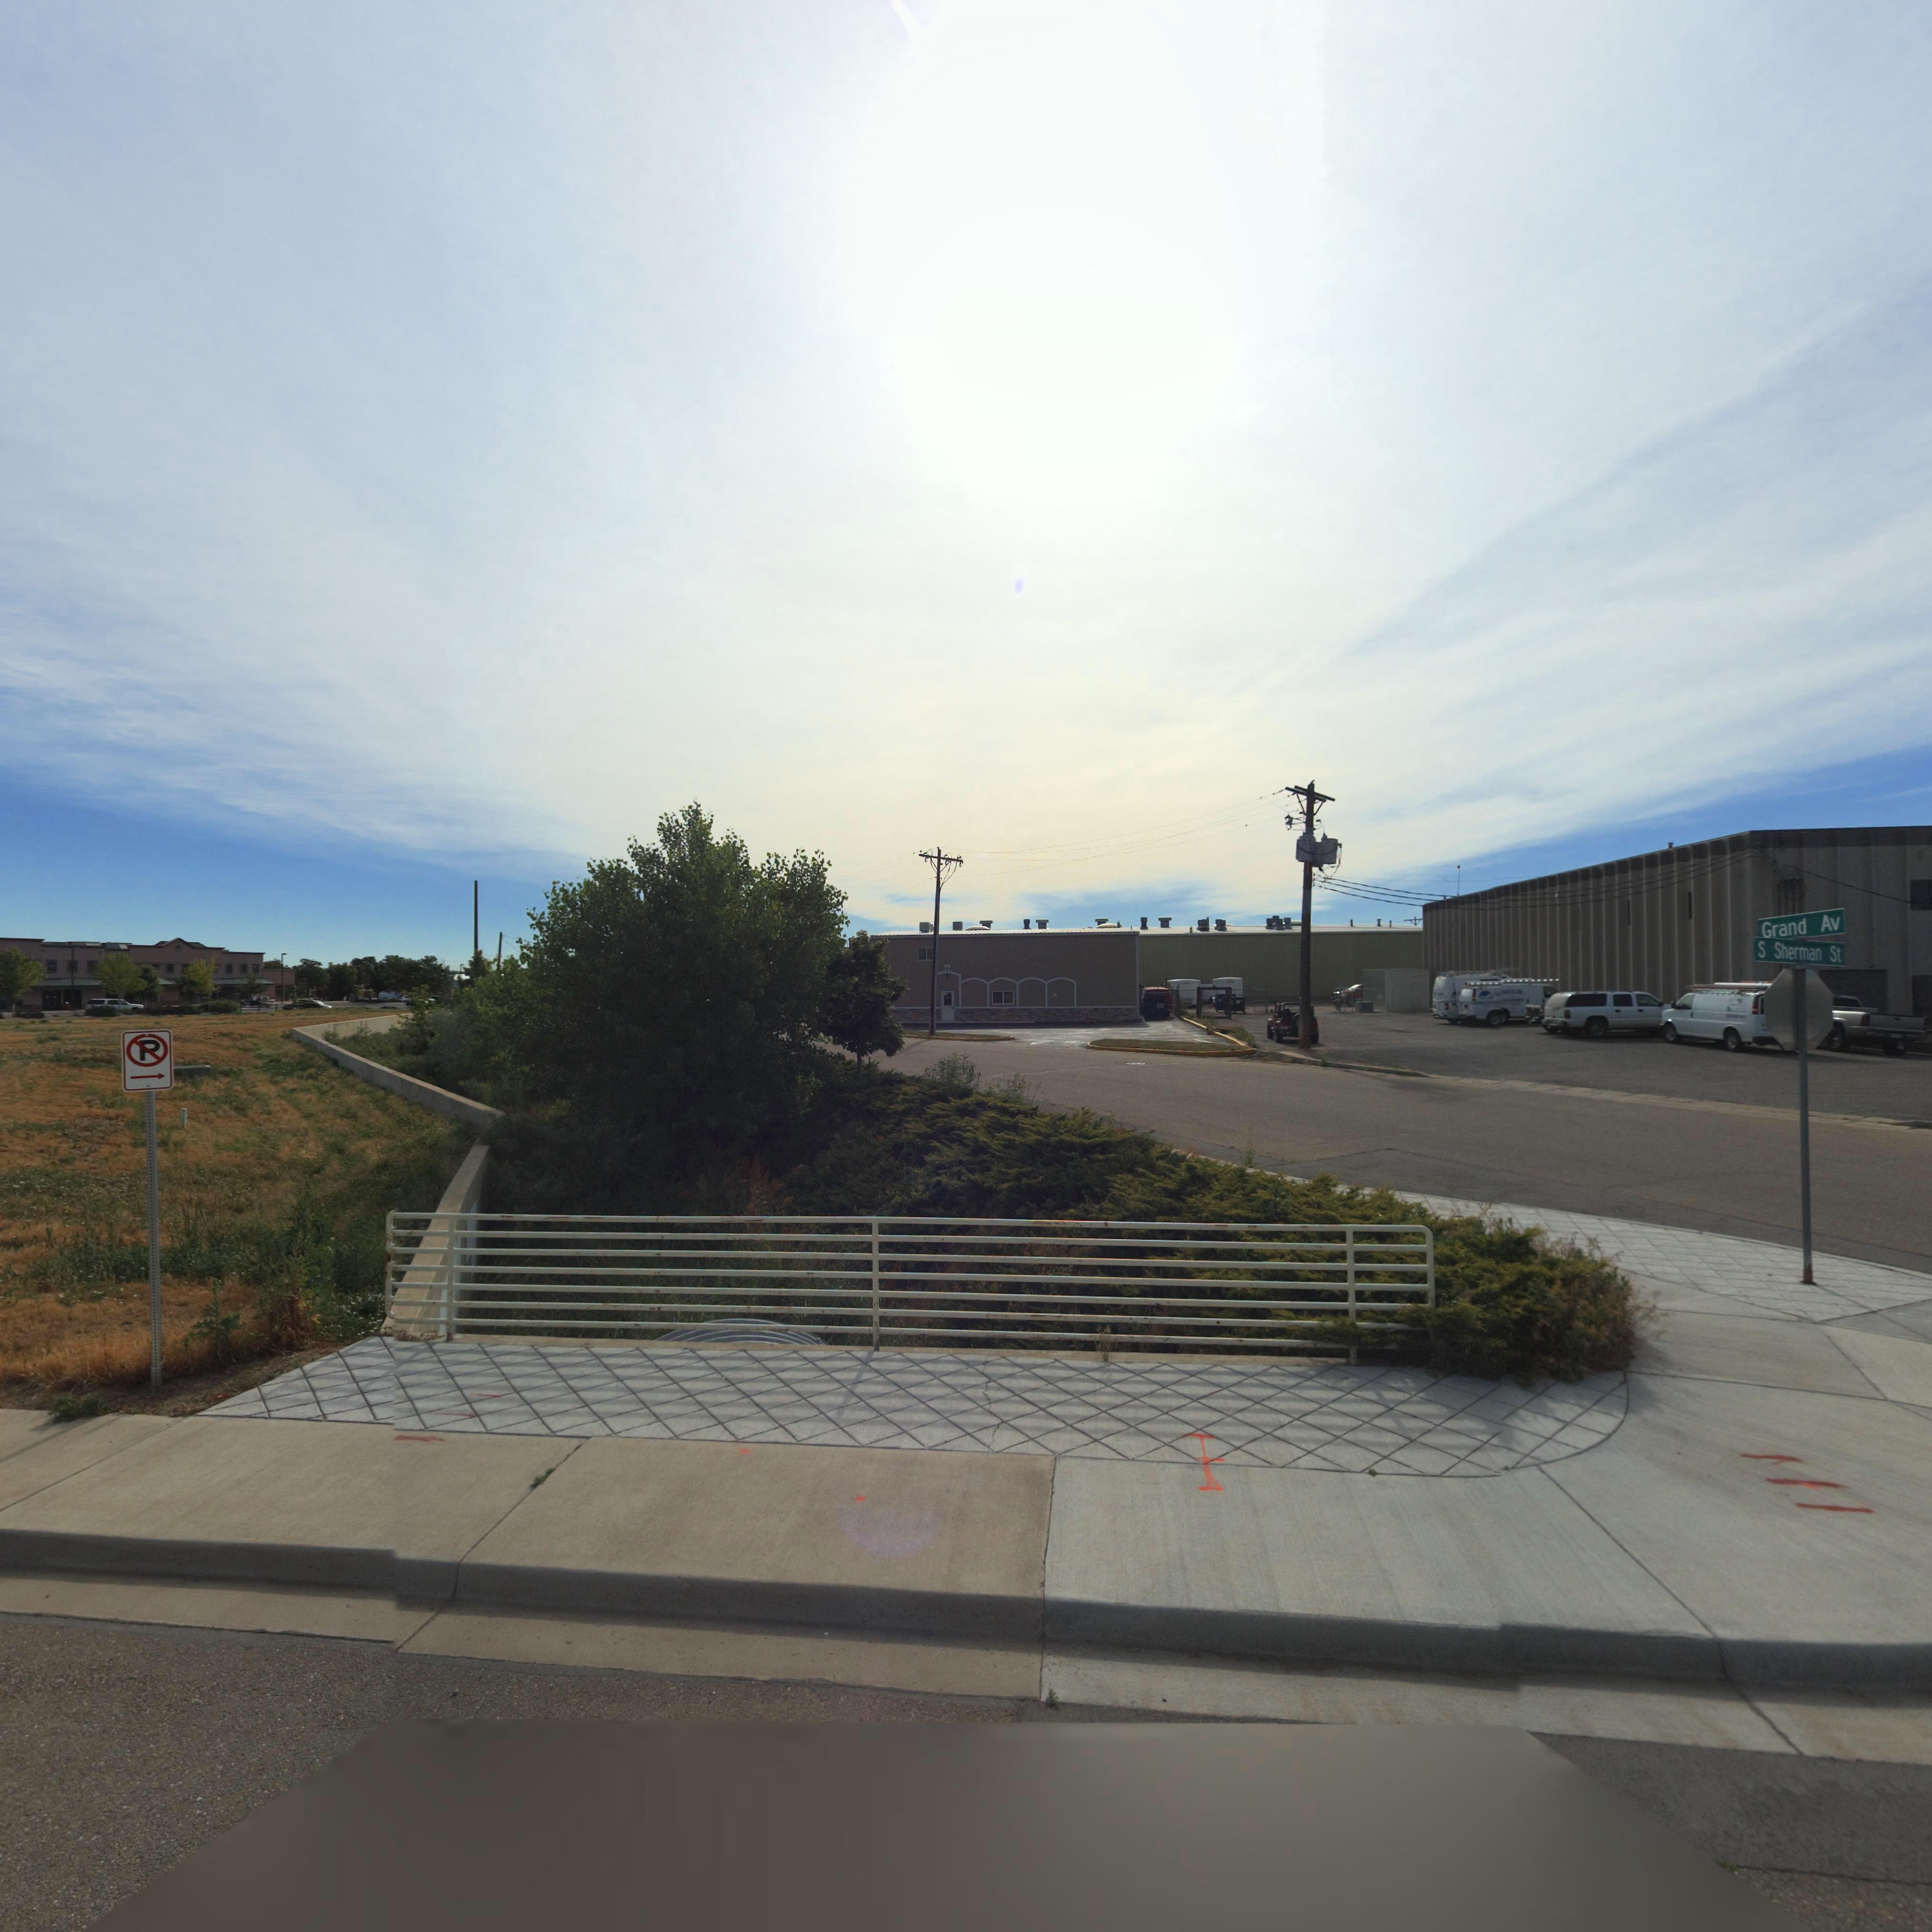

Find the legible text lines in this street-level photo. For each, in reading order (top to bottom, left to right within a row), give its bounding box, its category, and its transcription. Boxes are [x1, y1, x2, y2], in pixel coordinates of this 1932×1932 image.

[1761, 914, 1841, 938] StreetName: Grand Av
[1758, 939, 1842, 963] StreetName: S Sherman St